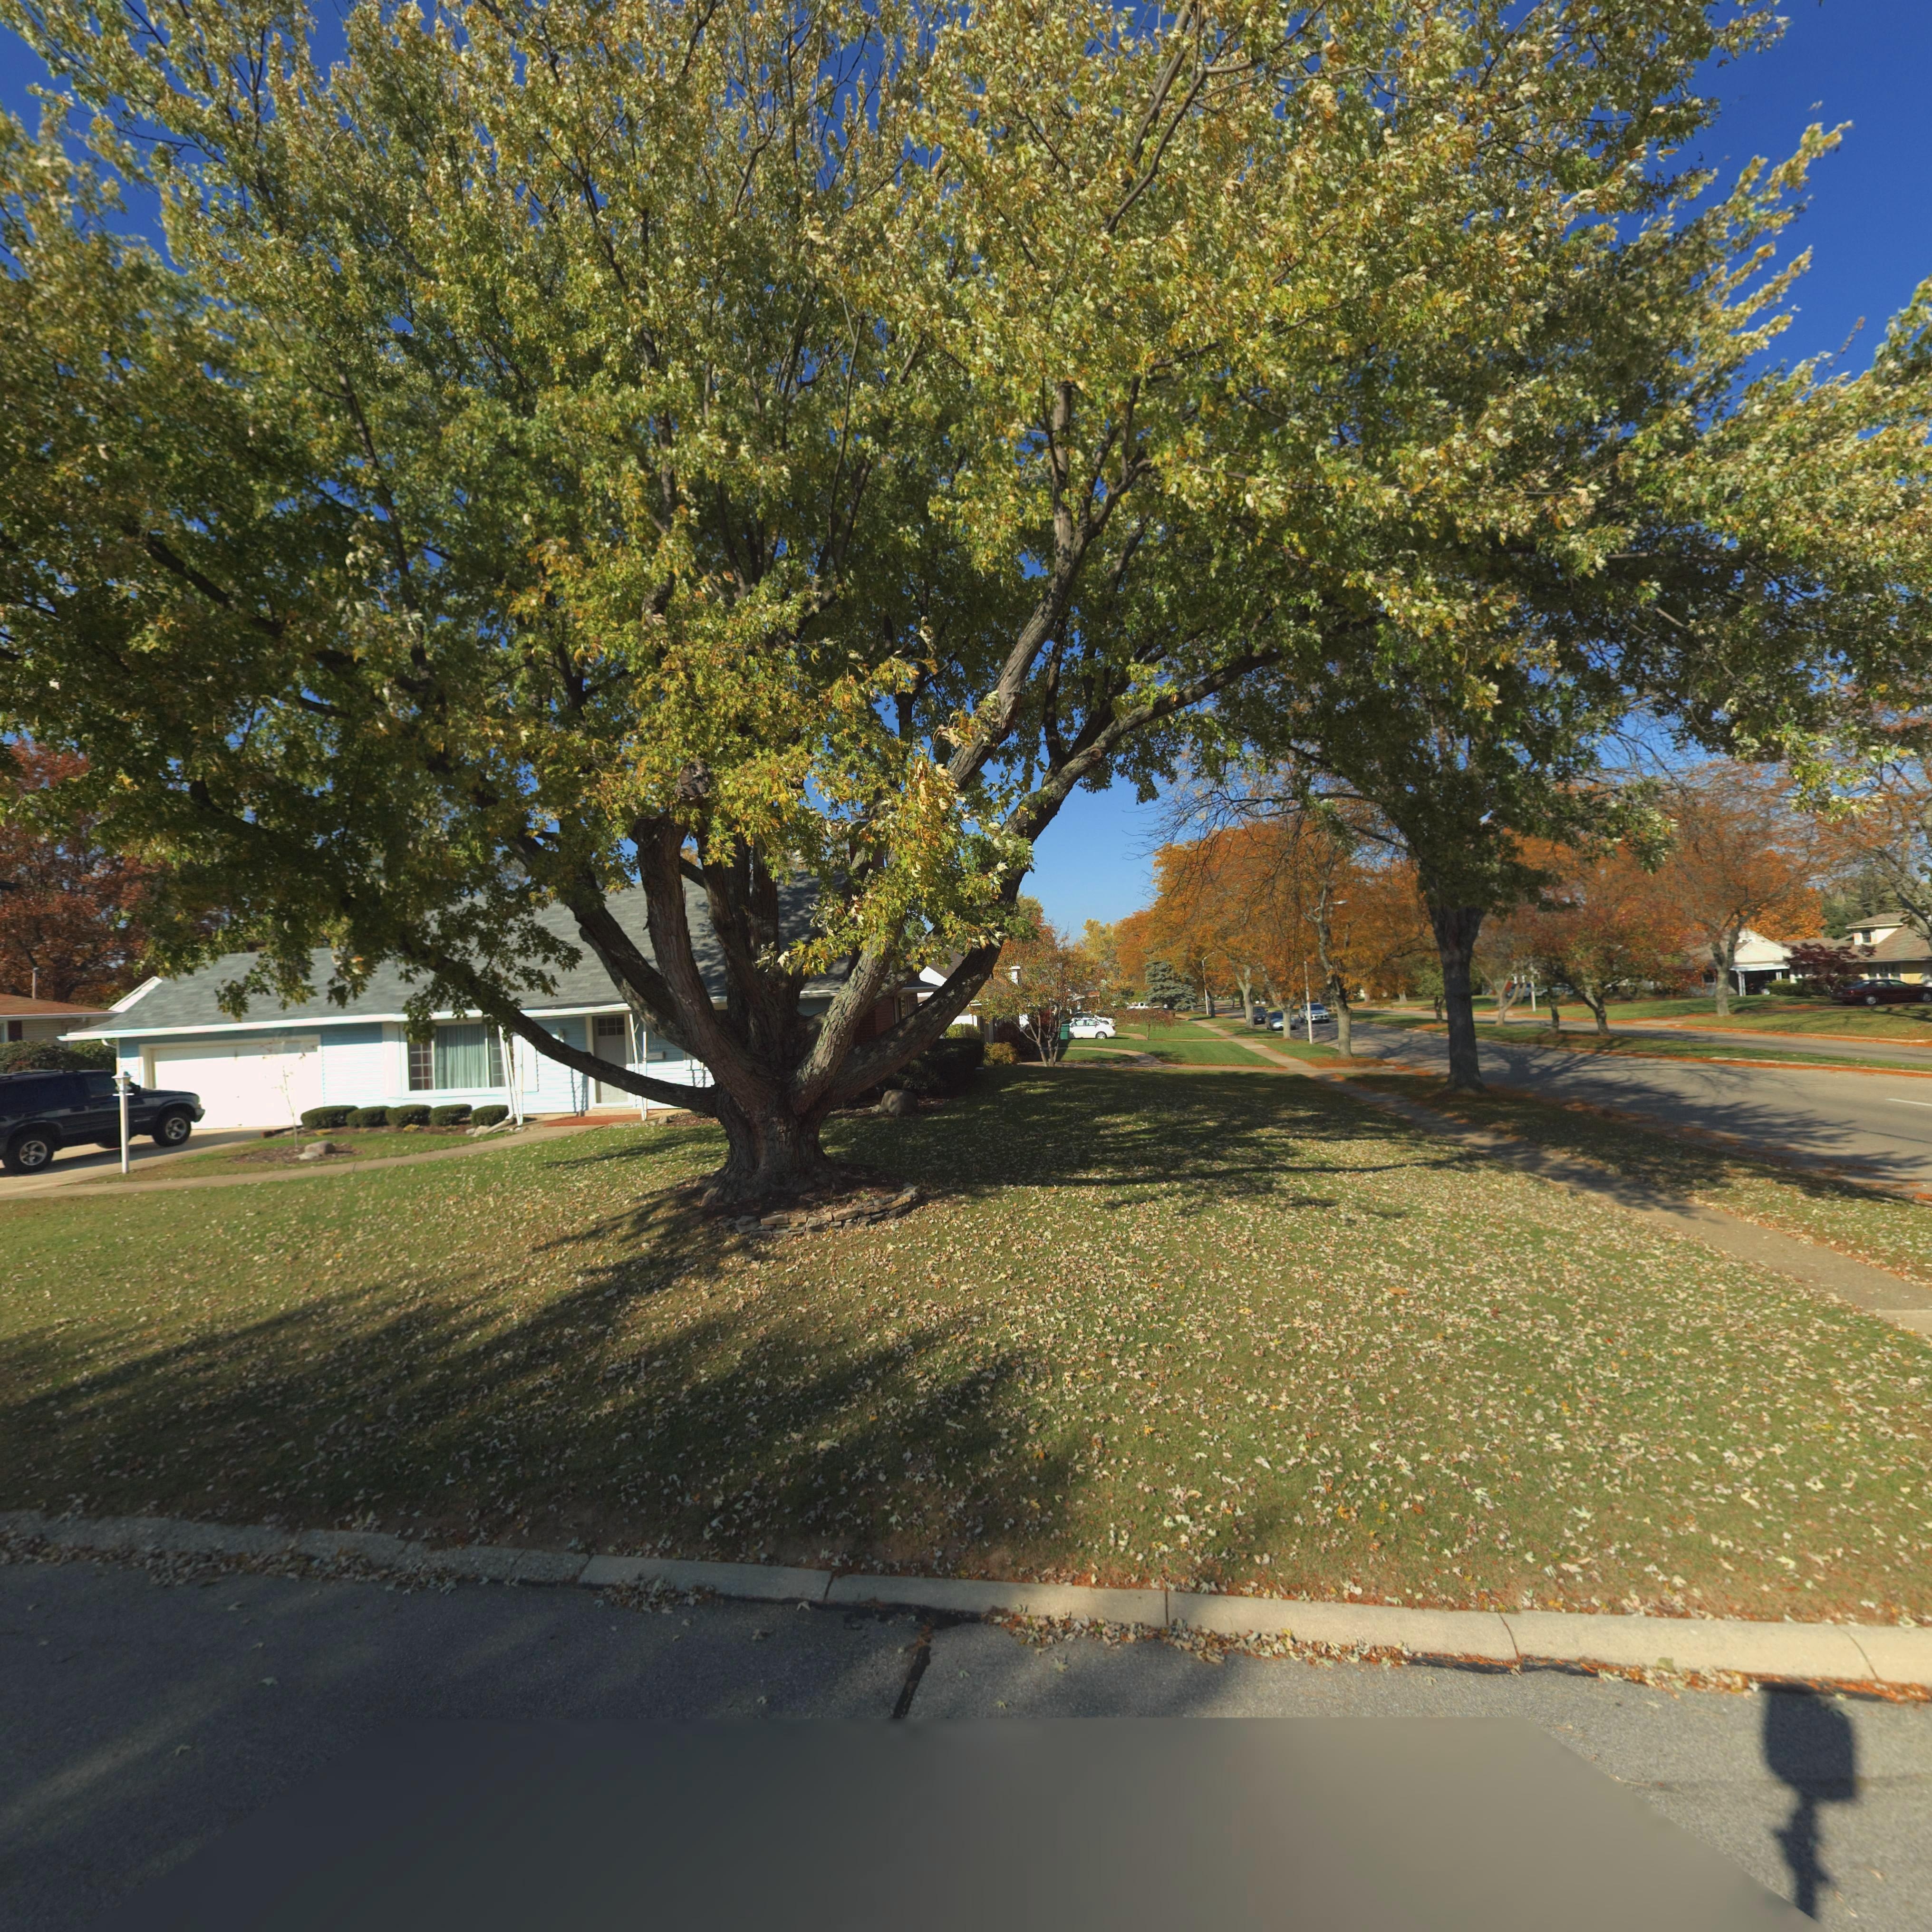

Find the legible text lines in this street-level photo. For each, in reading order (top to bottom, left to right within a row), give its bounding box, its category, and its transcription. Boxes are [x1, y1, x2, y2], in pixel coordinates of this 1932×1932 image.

[648, 1043, 660, 1050] StreetNumber: 861